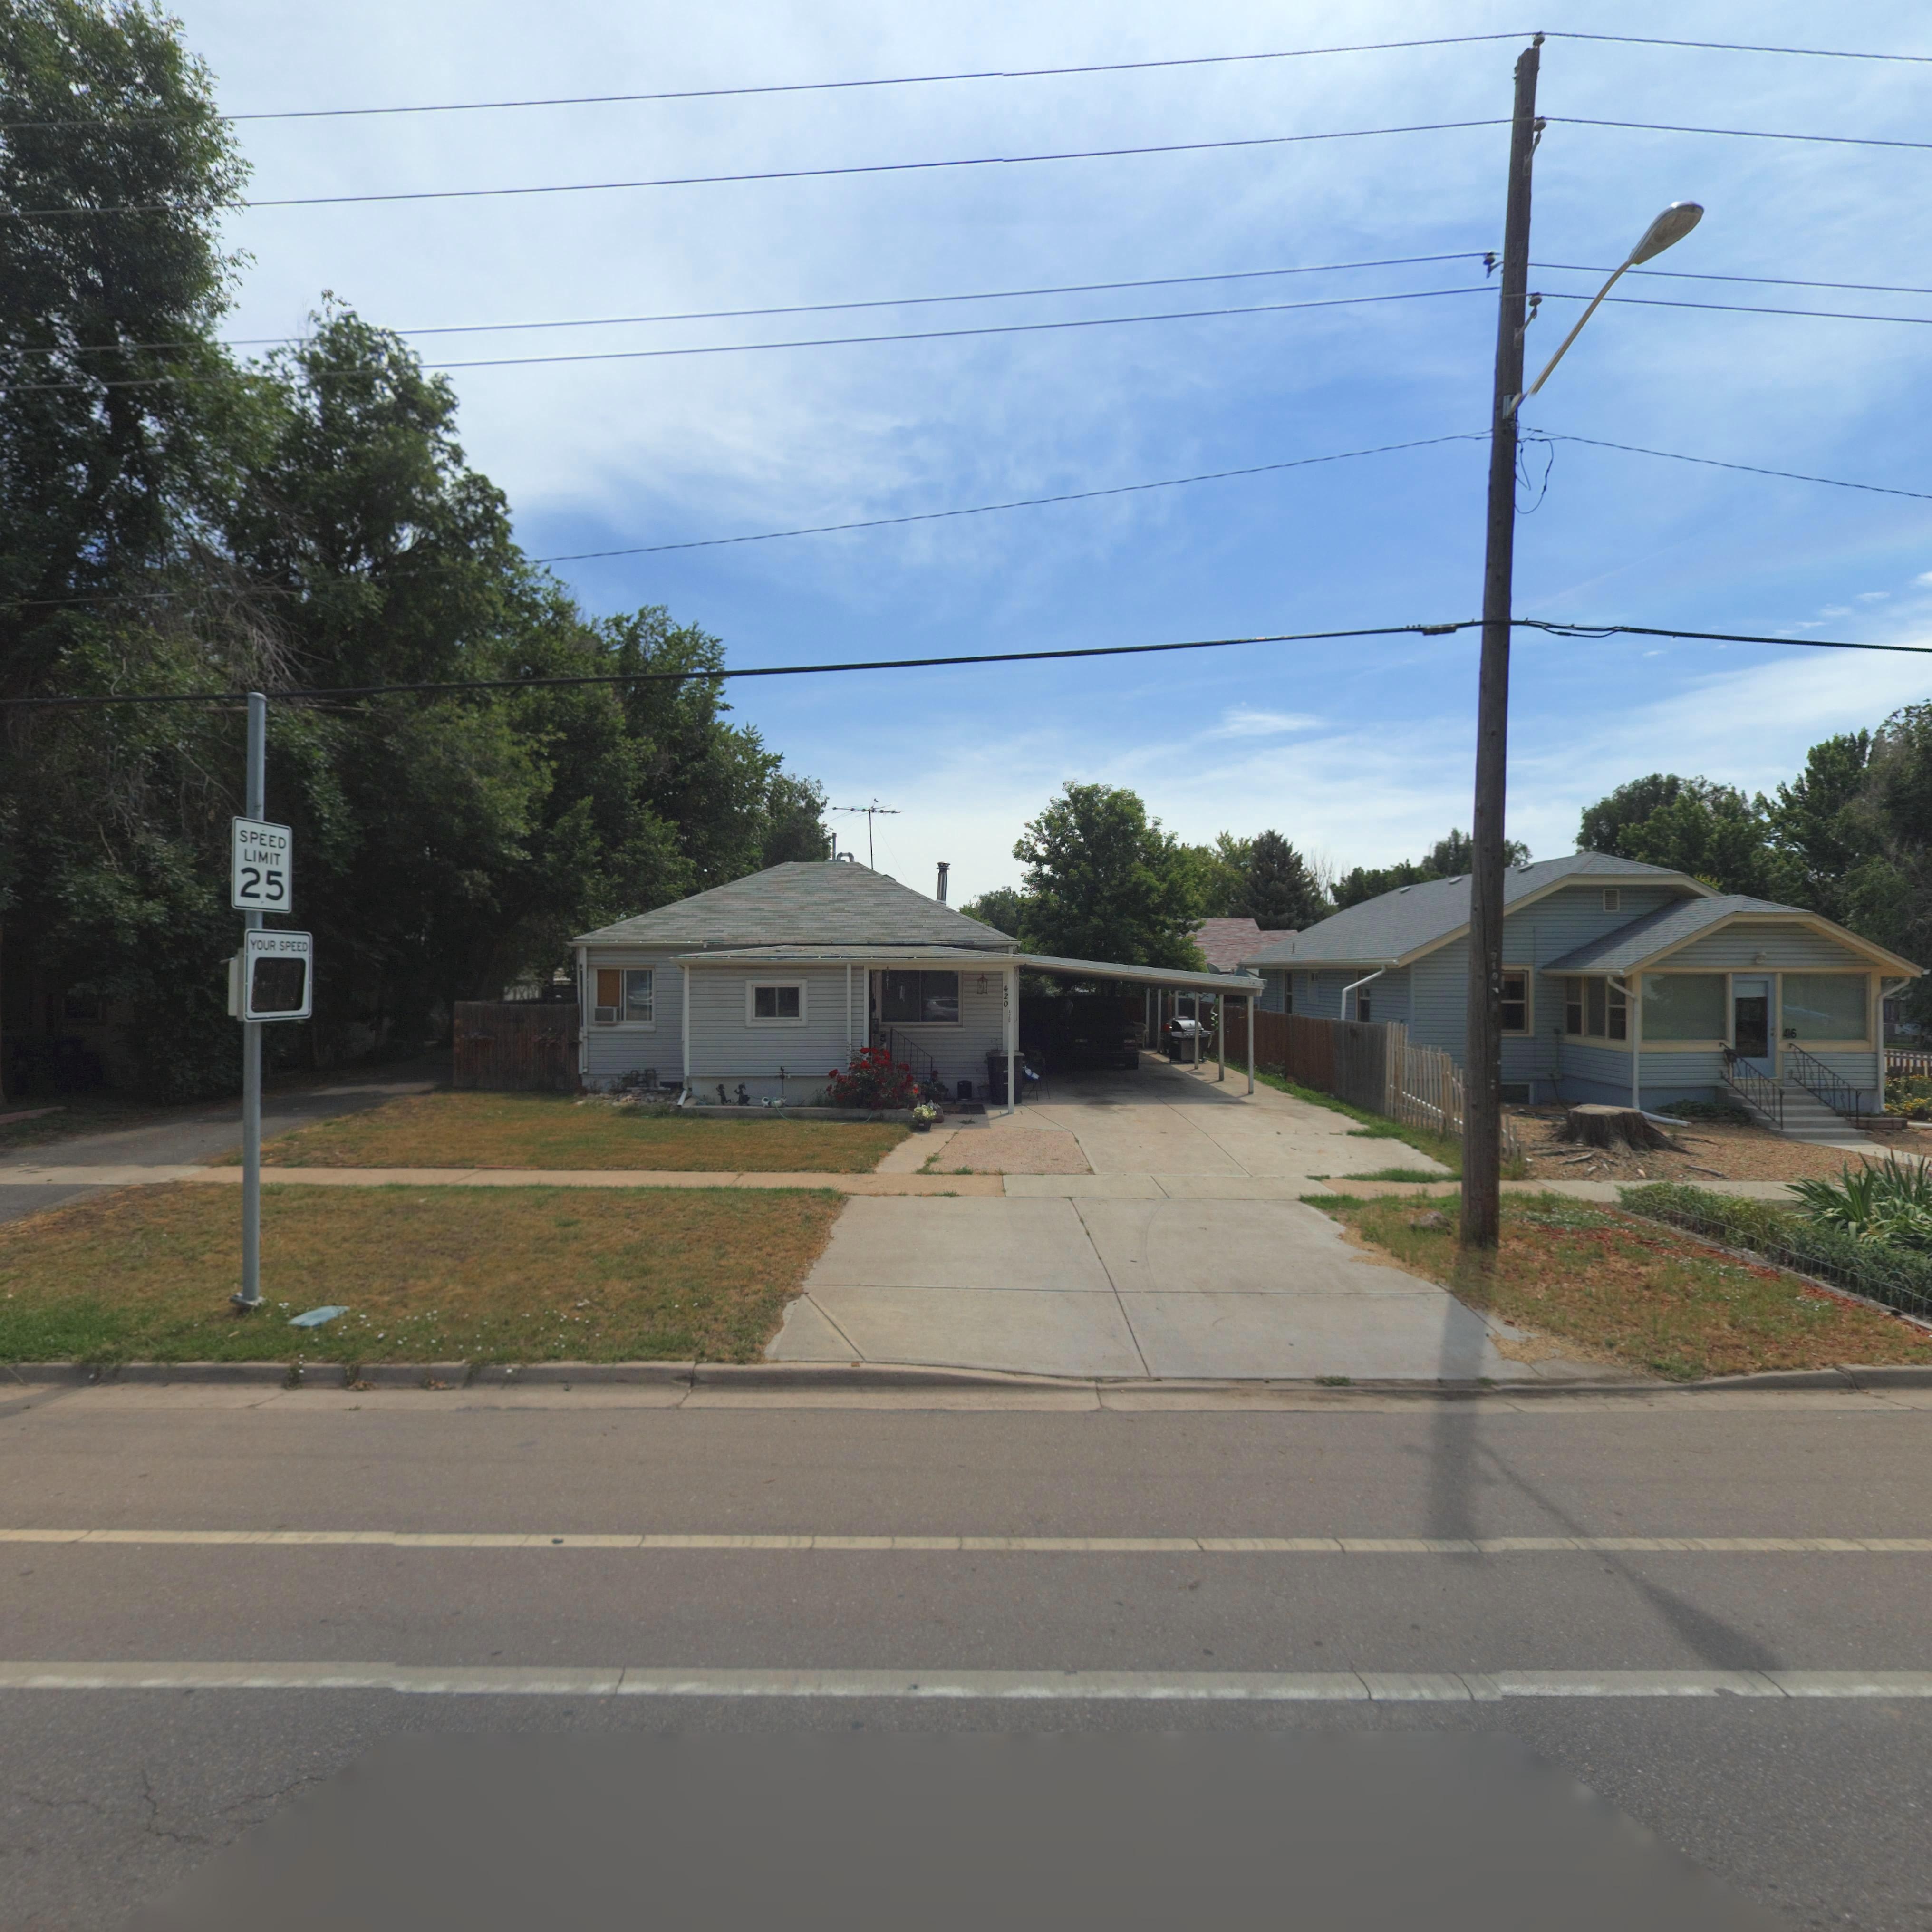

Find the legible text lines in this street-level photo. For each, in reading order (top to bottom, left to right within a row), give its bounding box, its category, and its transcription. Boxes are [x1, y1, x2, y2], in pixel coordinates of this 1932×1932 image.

[1003, 985, 1008, 1007] StreetNumber: 420
[1007, 1008, 1010, 1022] StreetNumber: 4**
[1782, 1027, 1796, 1038] StreetNumber: 416